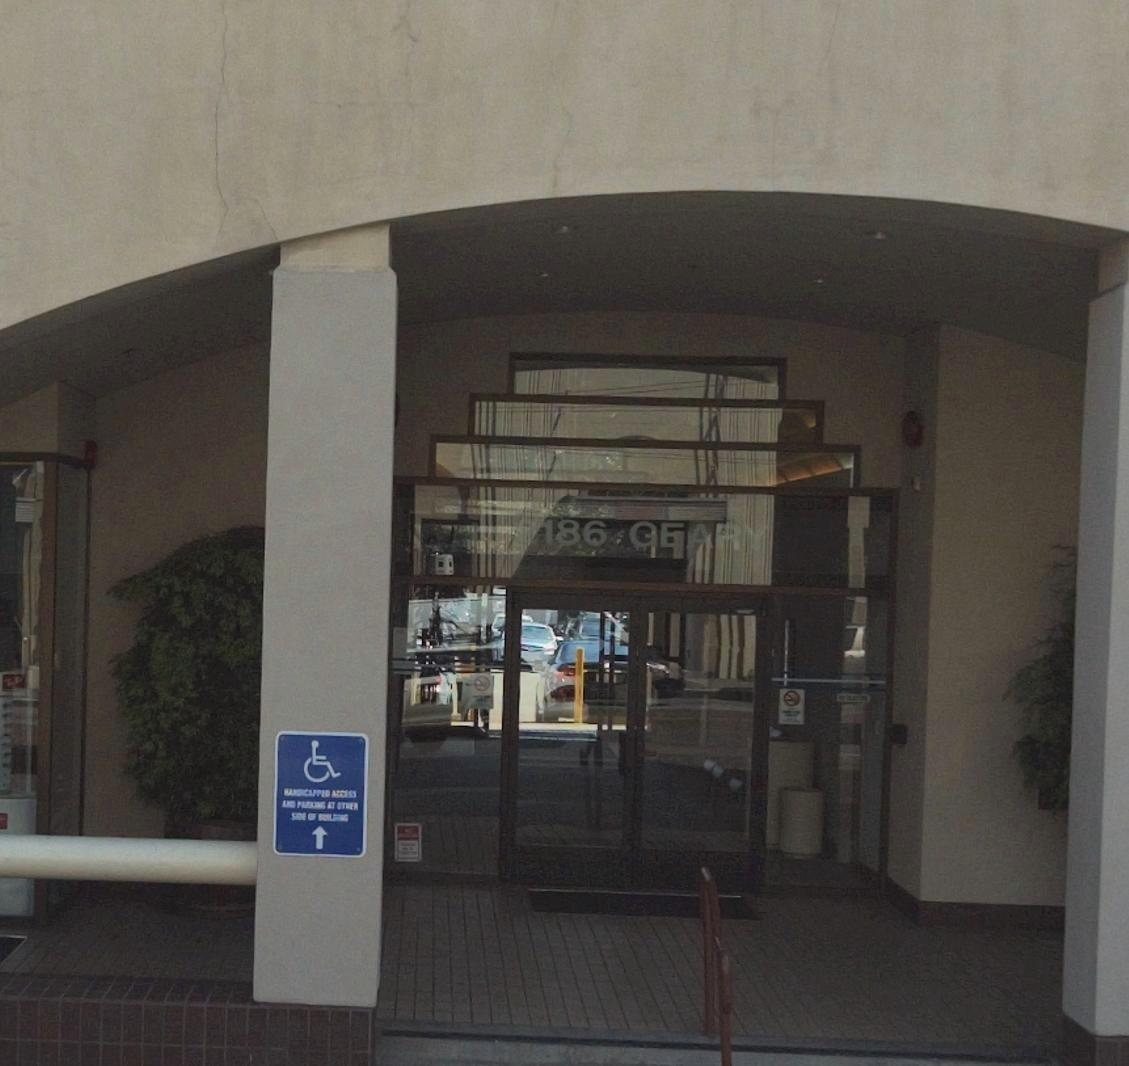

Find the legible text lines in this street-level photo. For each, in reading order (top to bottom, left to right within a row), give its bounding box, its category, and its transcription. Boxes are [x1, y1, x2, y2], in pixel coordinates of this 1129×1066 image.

[513, 517, 611, 549] StreetNumber: *186
[626, 519, 771, 551] StreetName: GEARY